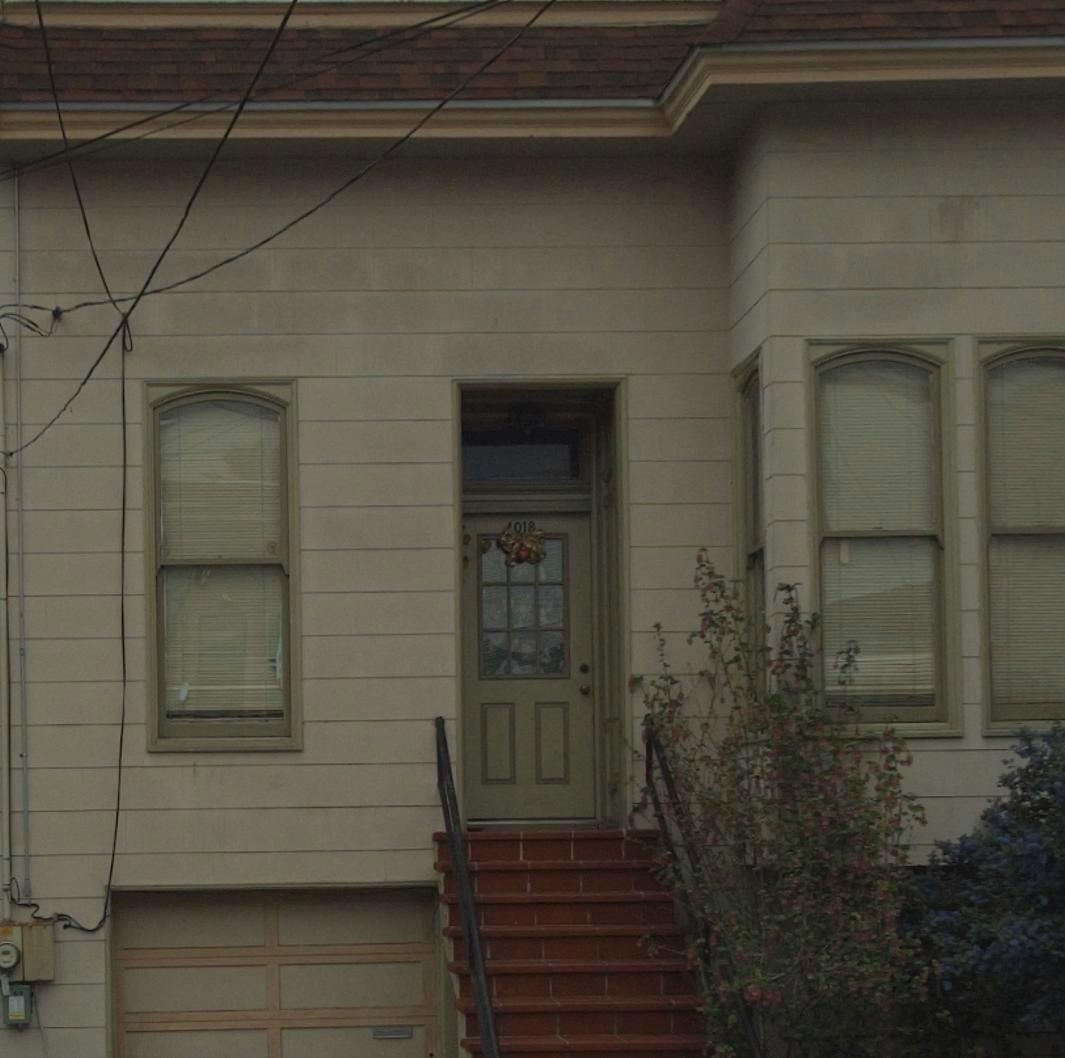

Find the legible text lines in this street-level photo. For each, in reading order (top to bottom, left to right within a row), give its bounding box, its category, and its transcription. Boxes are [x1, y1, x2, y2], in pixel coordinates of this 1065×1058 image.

[504, 520, 537, 535] StreetNumber: *018